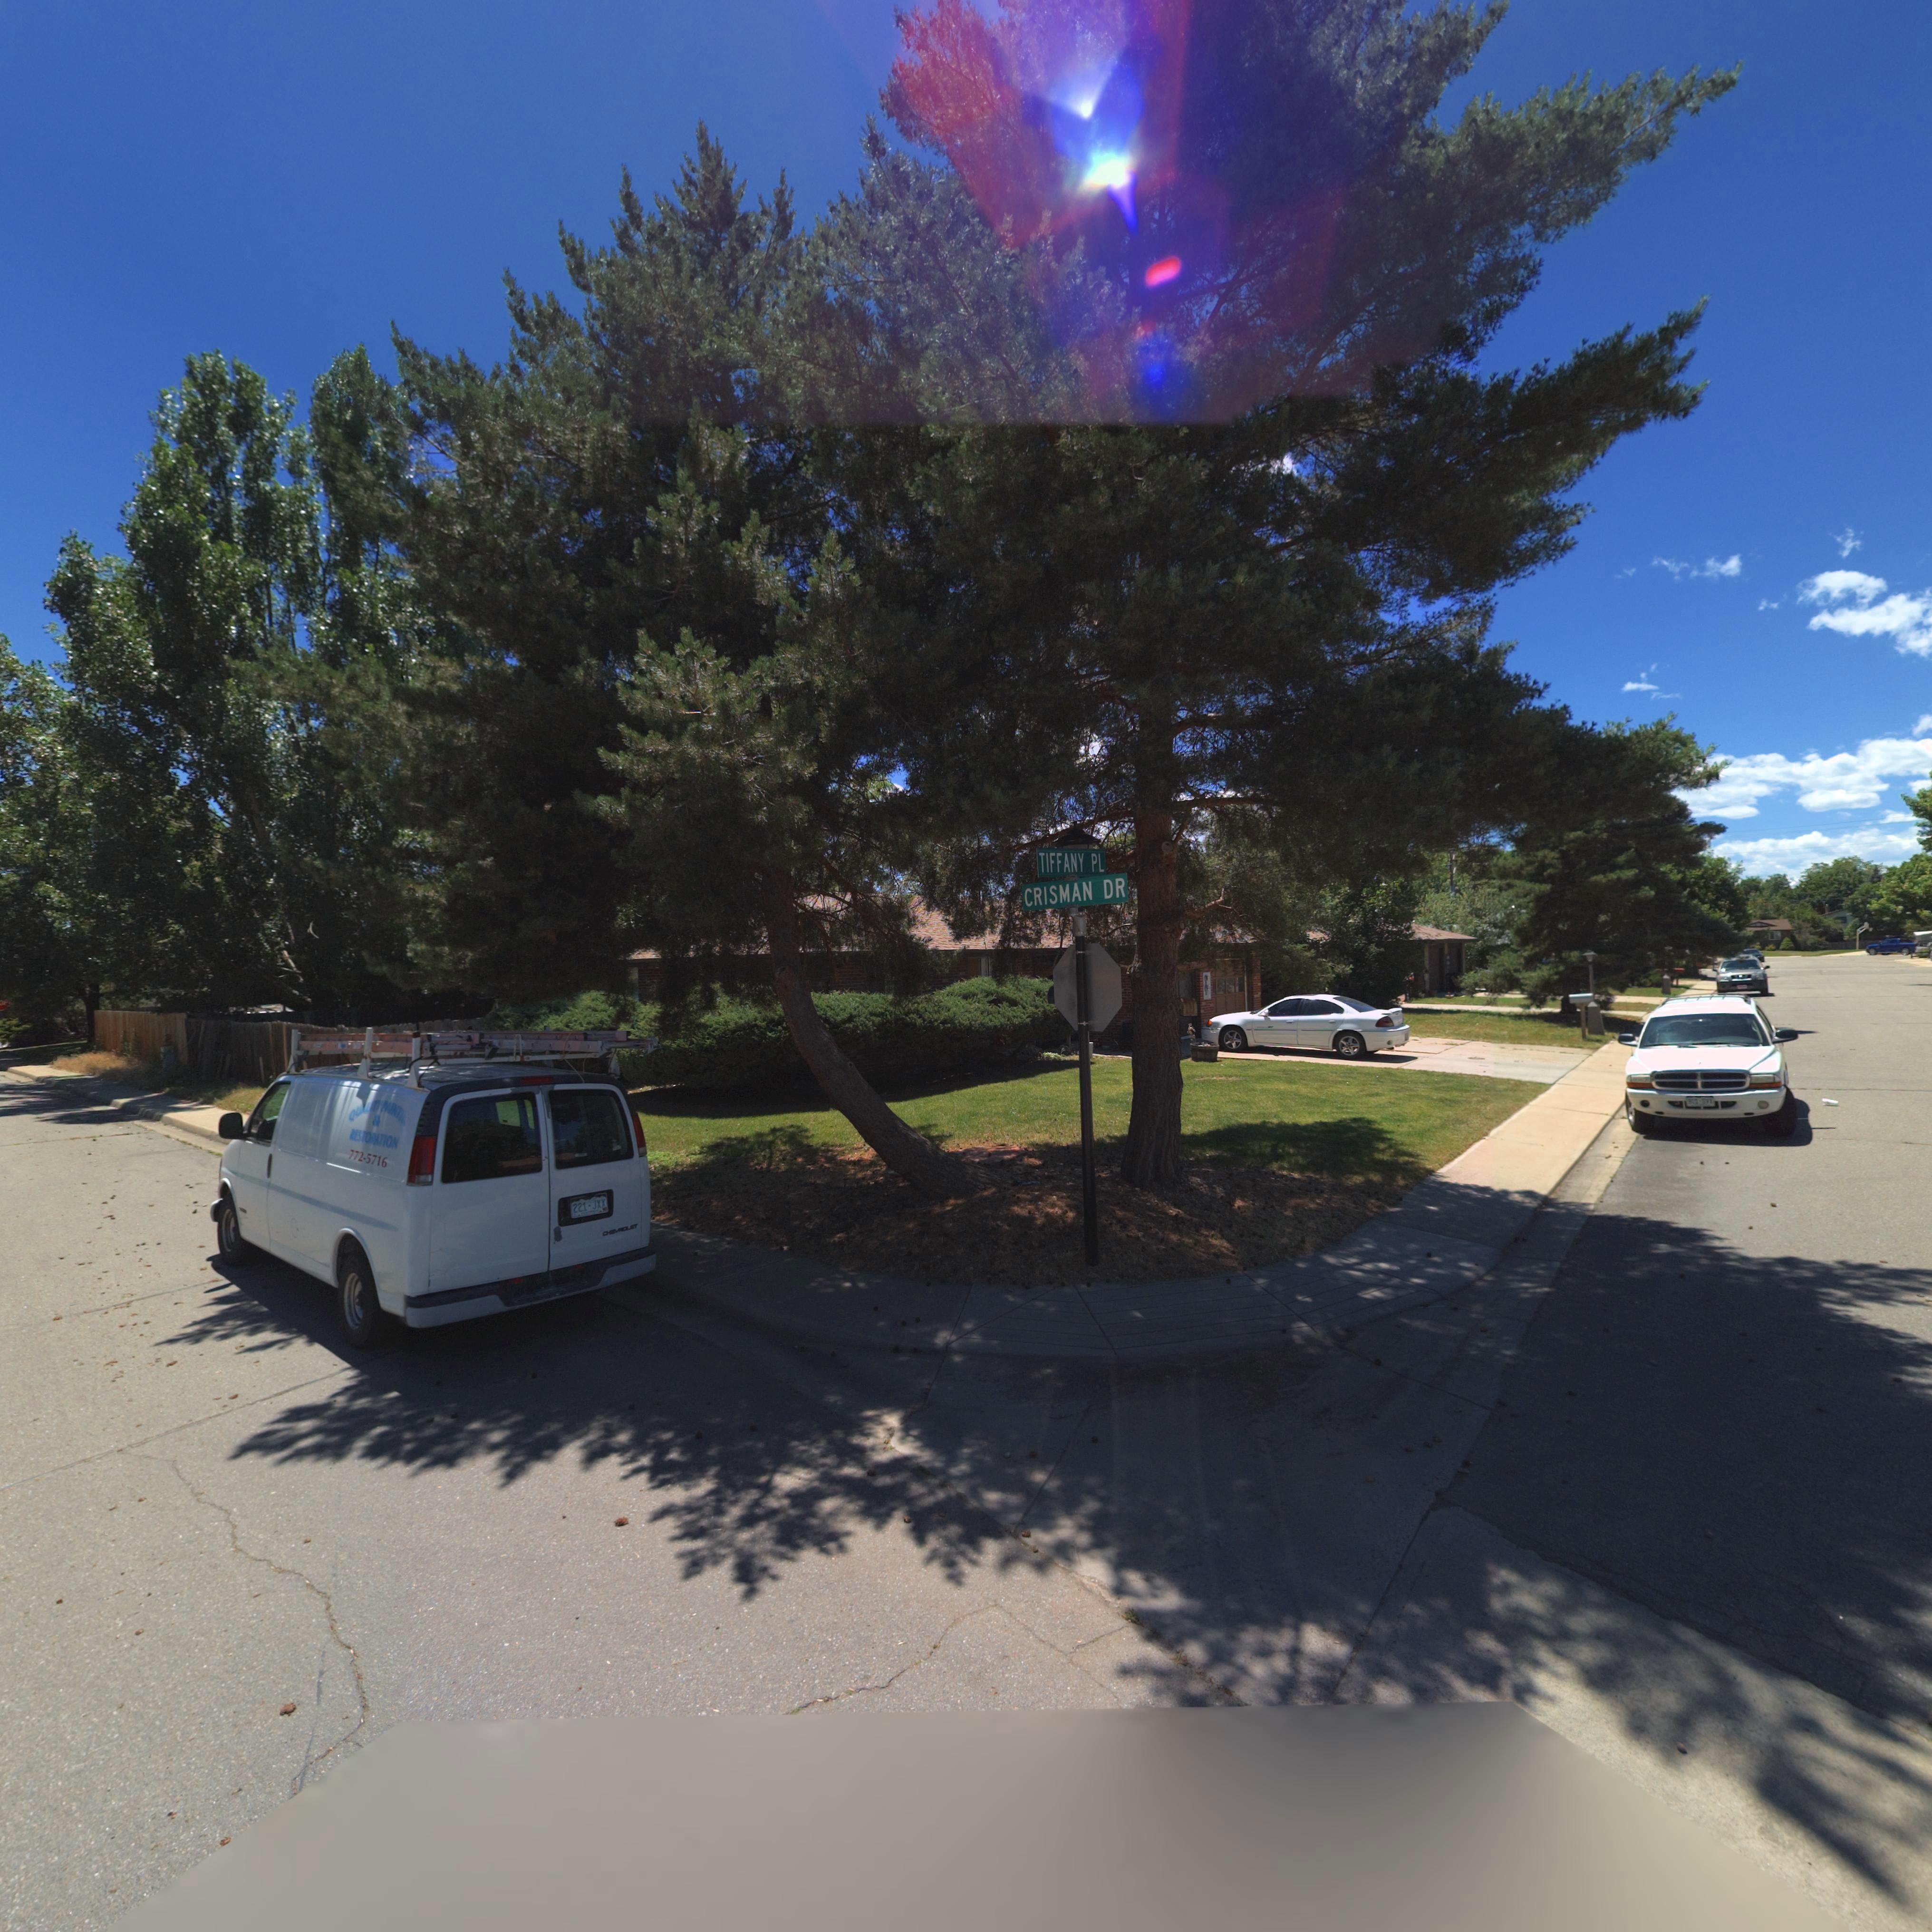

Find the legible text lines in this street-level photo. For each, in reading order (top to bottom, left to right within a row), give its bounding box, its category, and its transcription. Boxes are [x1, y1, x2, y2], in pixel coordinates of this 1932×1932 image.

[1038, 851, 1105, 873] StreetName: TIFFANY PL
[1023, 877, 1126, 907] StreetName: CHRISMAN DR